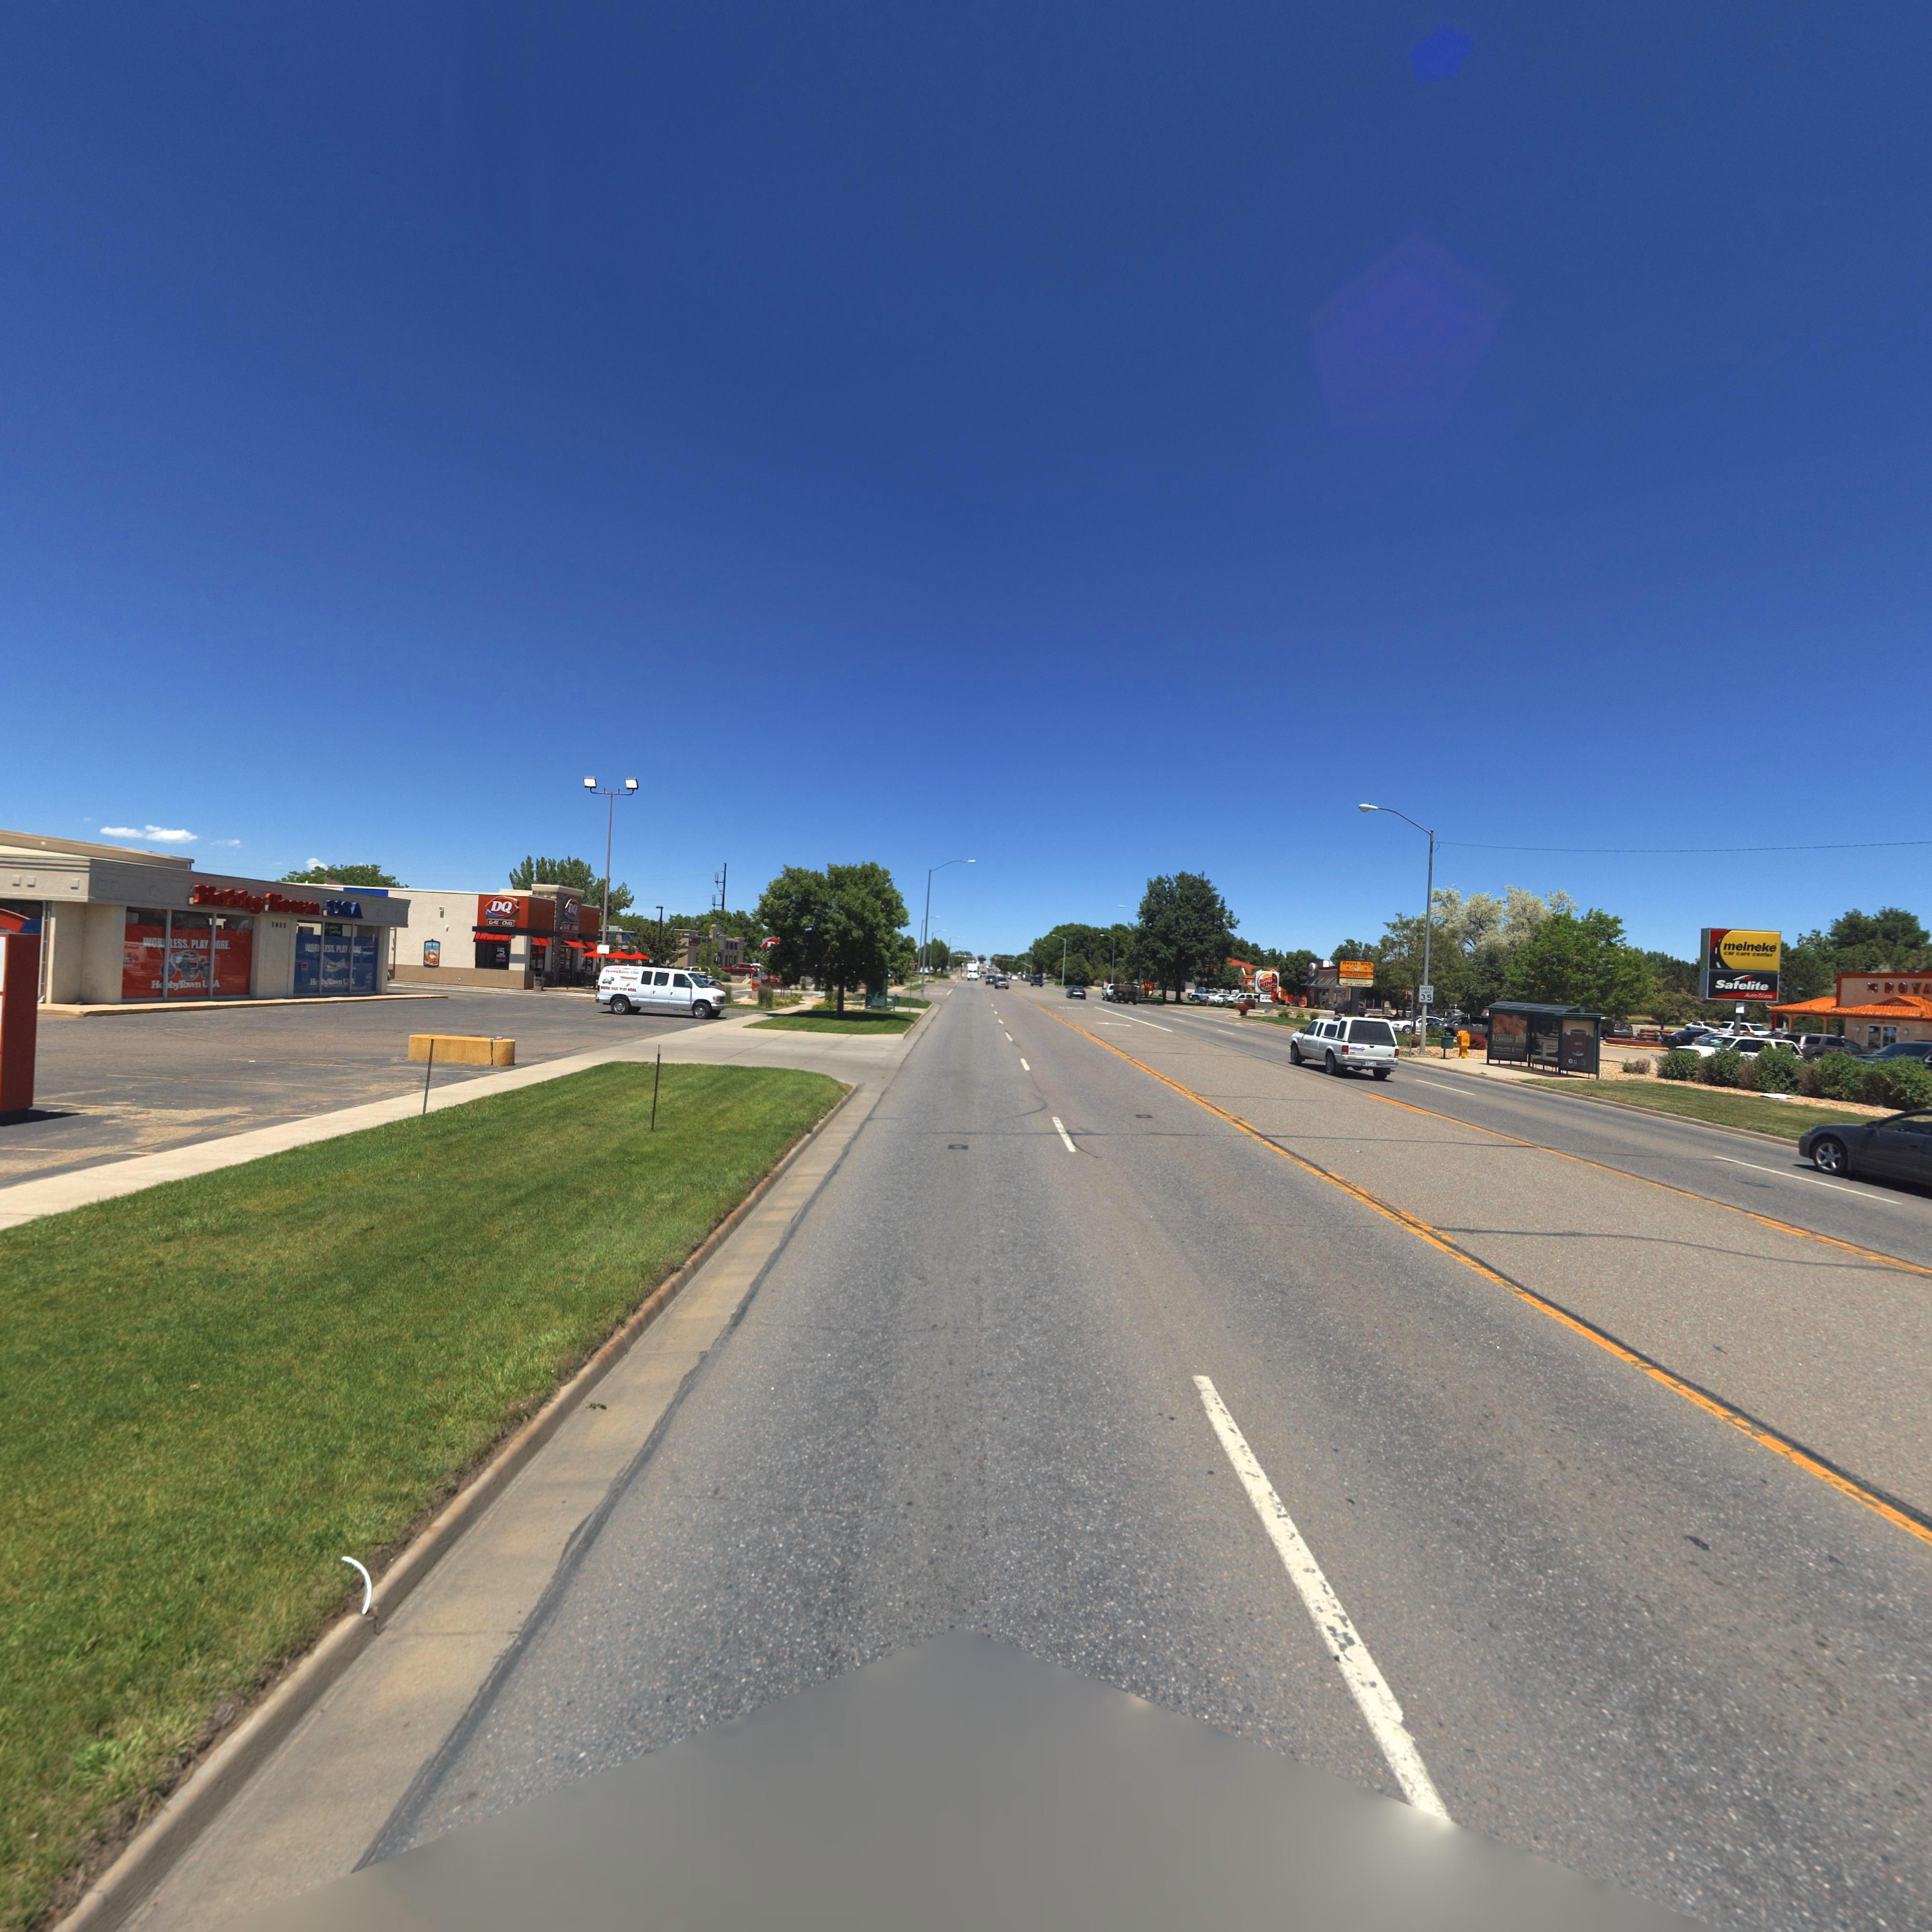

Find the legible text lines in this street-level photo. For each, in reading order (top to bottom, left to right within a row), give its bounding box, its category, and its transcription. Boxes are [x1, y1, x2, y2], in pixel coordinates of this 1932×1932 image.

[192, 883, 365, 919] BusinessName: HobbyTownUSA
[491, 900, 513, 914] BusinessName: DQ
[567, 903, 578, 916] BusinessName: DQ
[271, 921, 287, 928] StreetNumber: 1935
[488, 919, 513, 926] BusinessName: Grill&Chill
[562, 923, 579, 931] BusinessName: Grill&Chill
[1723, 940, 1777, 952] BusinessName: meineke
[1723, 951, 1774, 957] BusinessName: car care center
[1342, 961, 1371, 966] BusinessName: Royal Wok
[309, 977, 356, 987] BusinessName: H**byTownU*A
[1259, 976, 1271, 983] BusinessName: BURG
[1260, 980, 1271, 988] BusinessName: BURG
[1714, 978, 1769, 991] BusinessName: Safelite
[1884, 981, 1931, 995] BusinessName: ROYA
[1743, 992, 1773, 998] BusinessName: AutoGlass